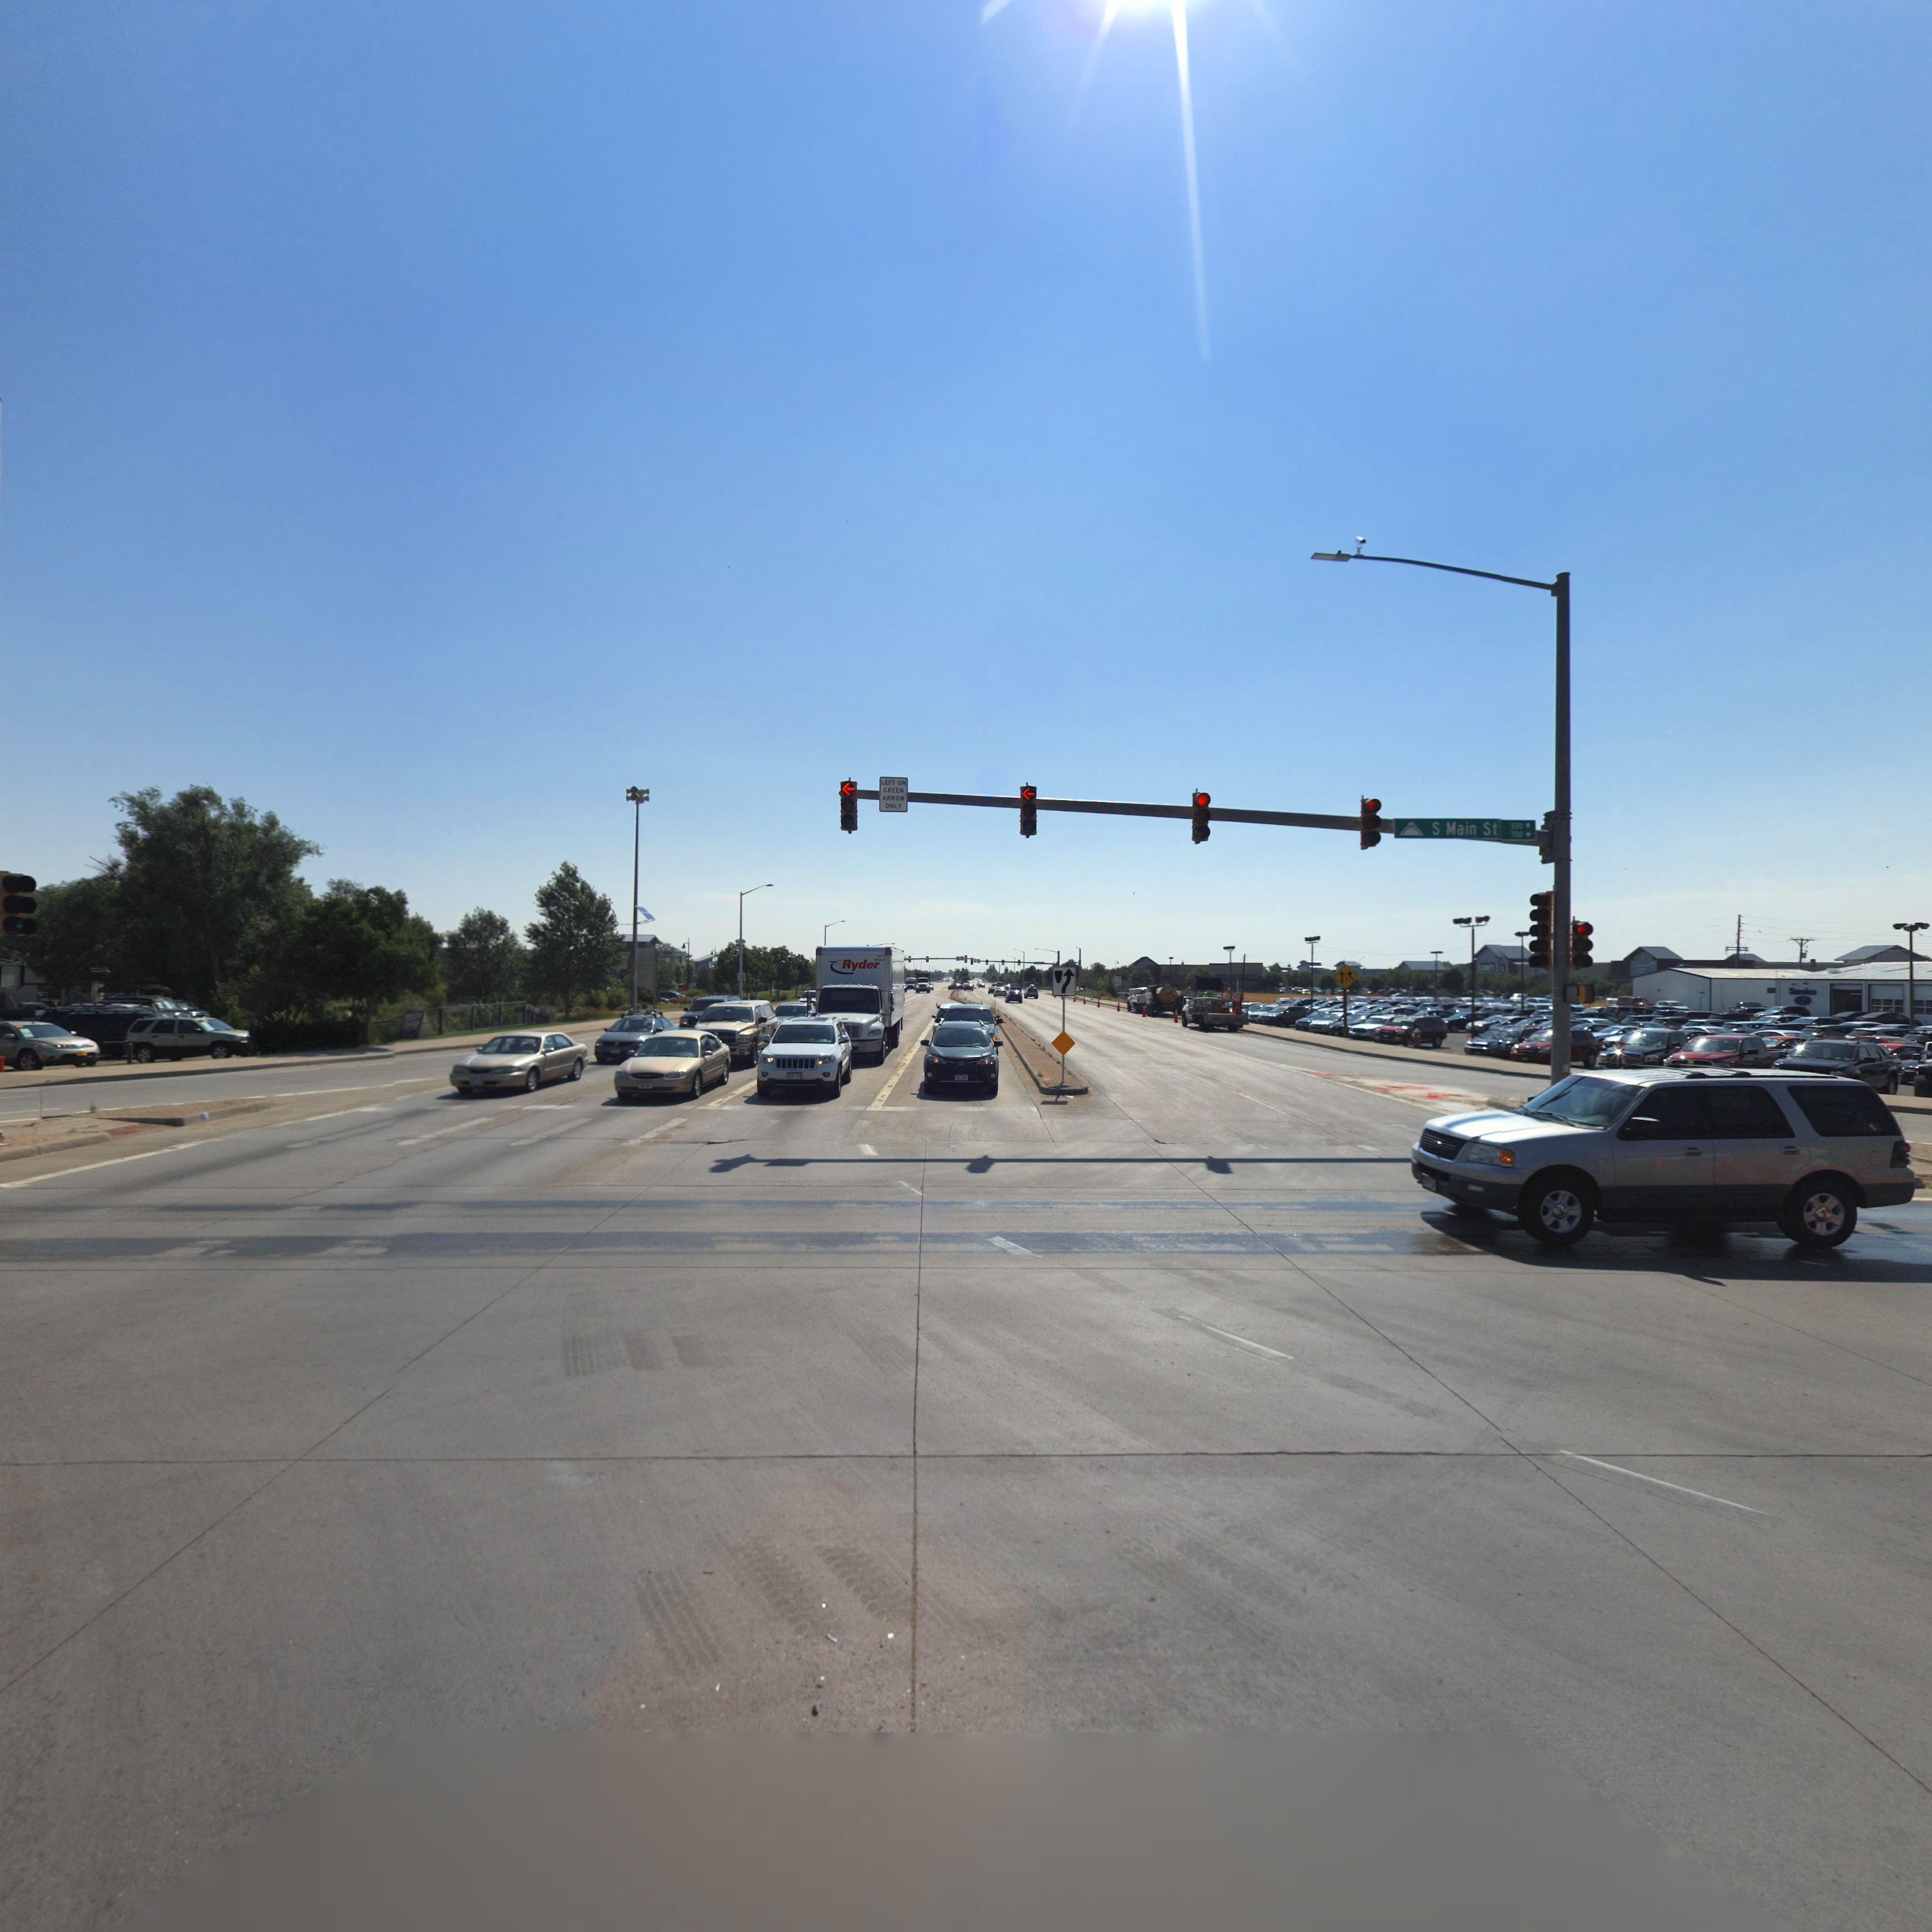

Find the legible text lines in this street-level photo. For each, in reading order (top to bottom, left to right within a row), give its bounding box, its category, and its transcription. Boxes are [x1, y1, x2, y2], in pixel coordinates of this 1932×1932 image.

[1430, 821, 1498, 836] StreetName: S Main St
[1510, 822, 1523, 829] StreetNumberRange: 500
[1509, 831, 1532, 838] StreetNumberRange: 700->
[1479, 964, 1494, 971] BusinessName: LO****